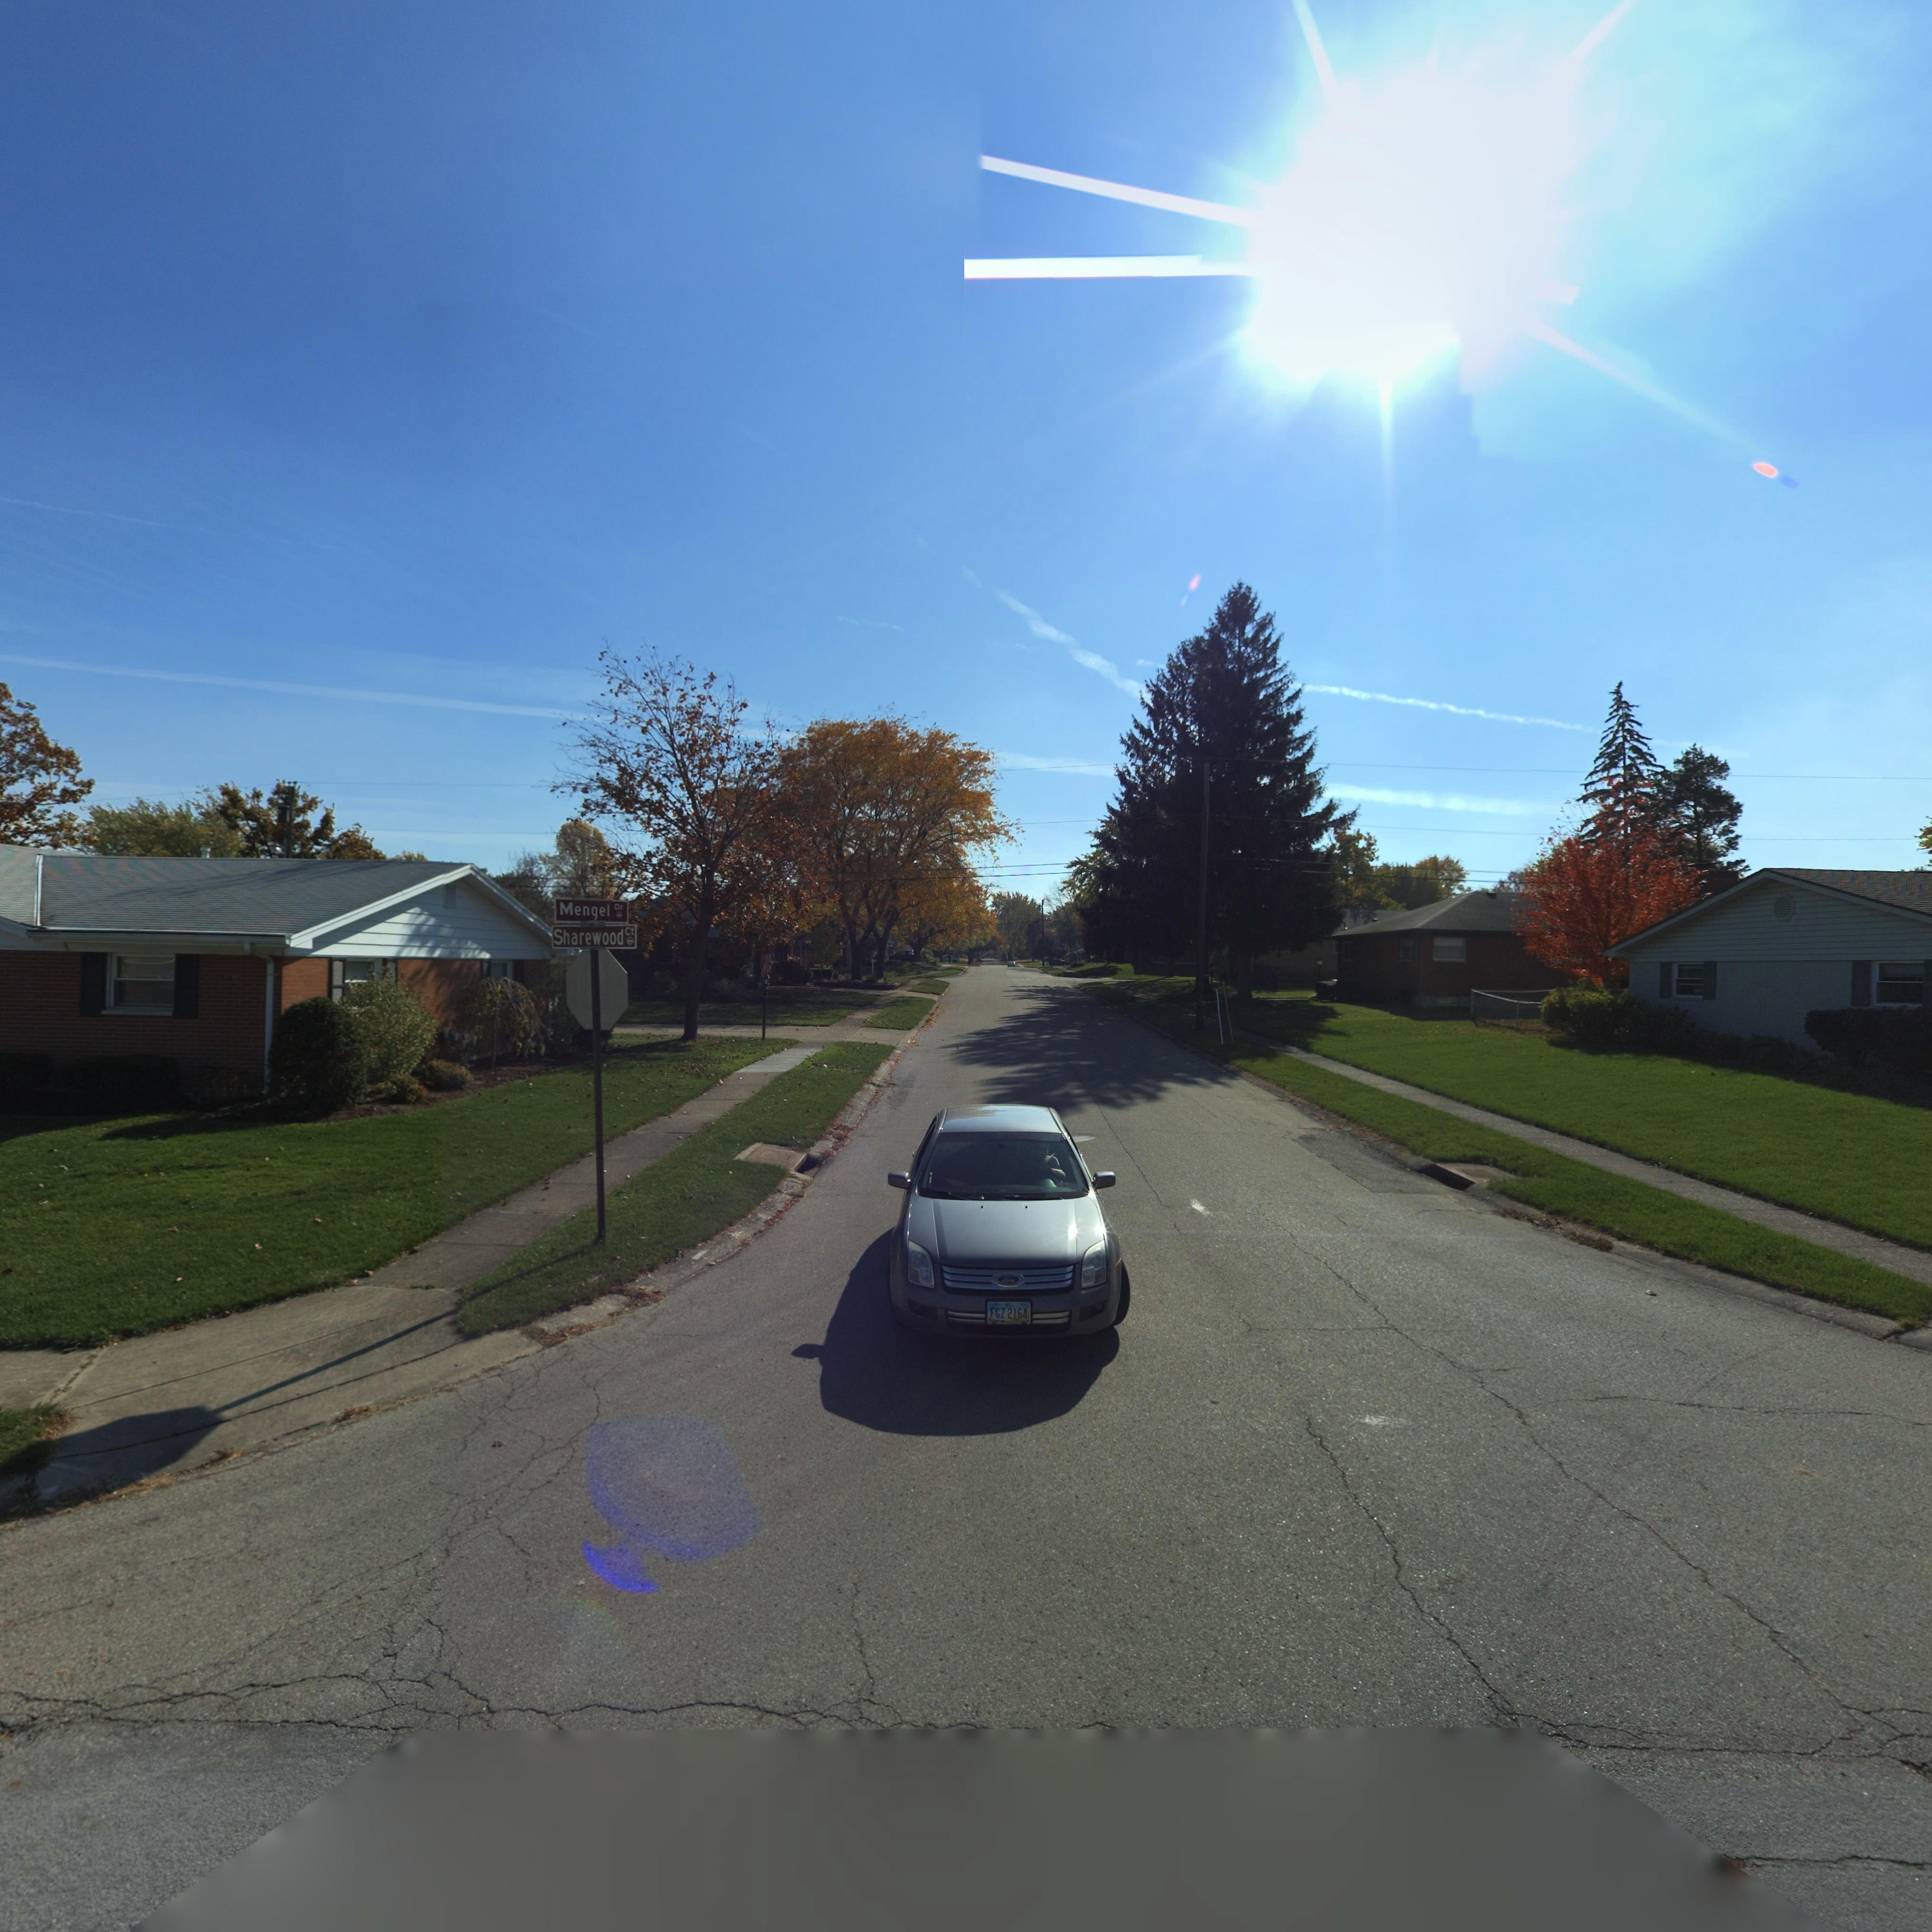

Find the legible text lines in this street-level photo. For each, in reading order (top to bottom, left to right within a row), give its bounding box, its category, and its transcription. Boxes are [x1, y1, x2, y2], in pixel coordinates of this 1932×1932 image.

[559, 901, 625, 921] StreetName: Mengel Dr
[553, 927, 635, 946] StreetName: Sharewood Ct